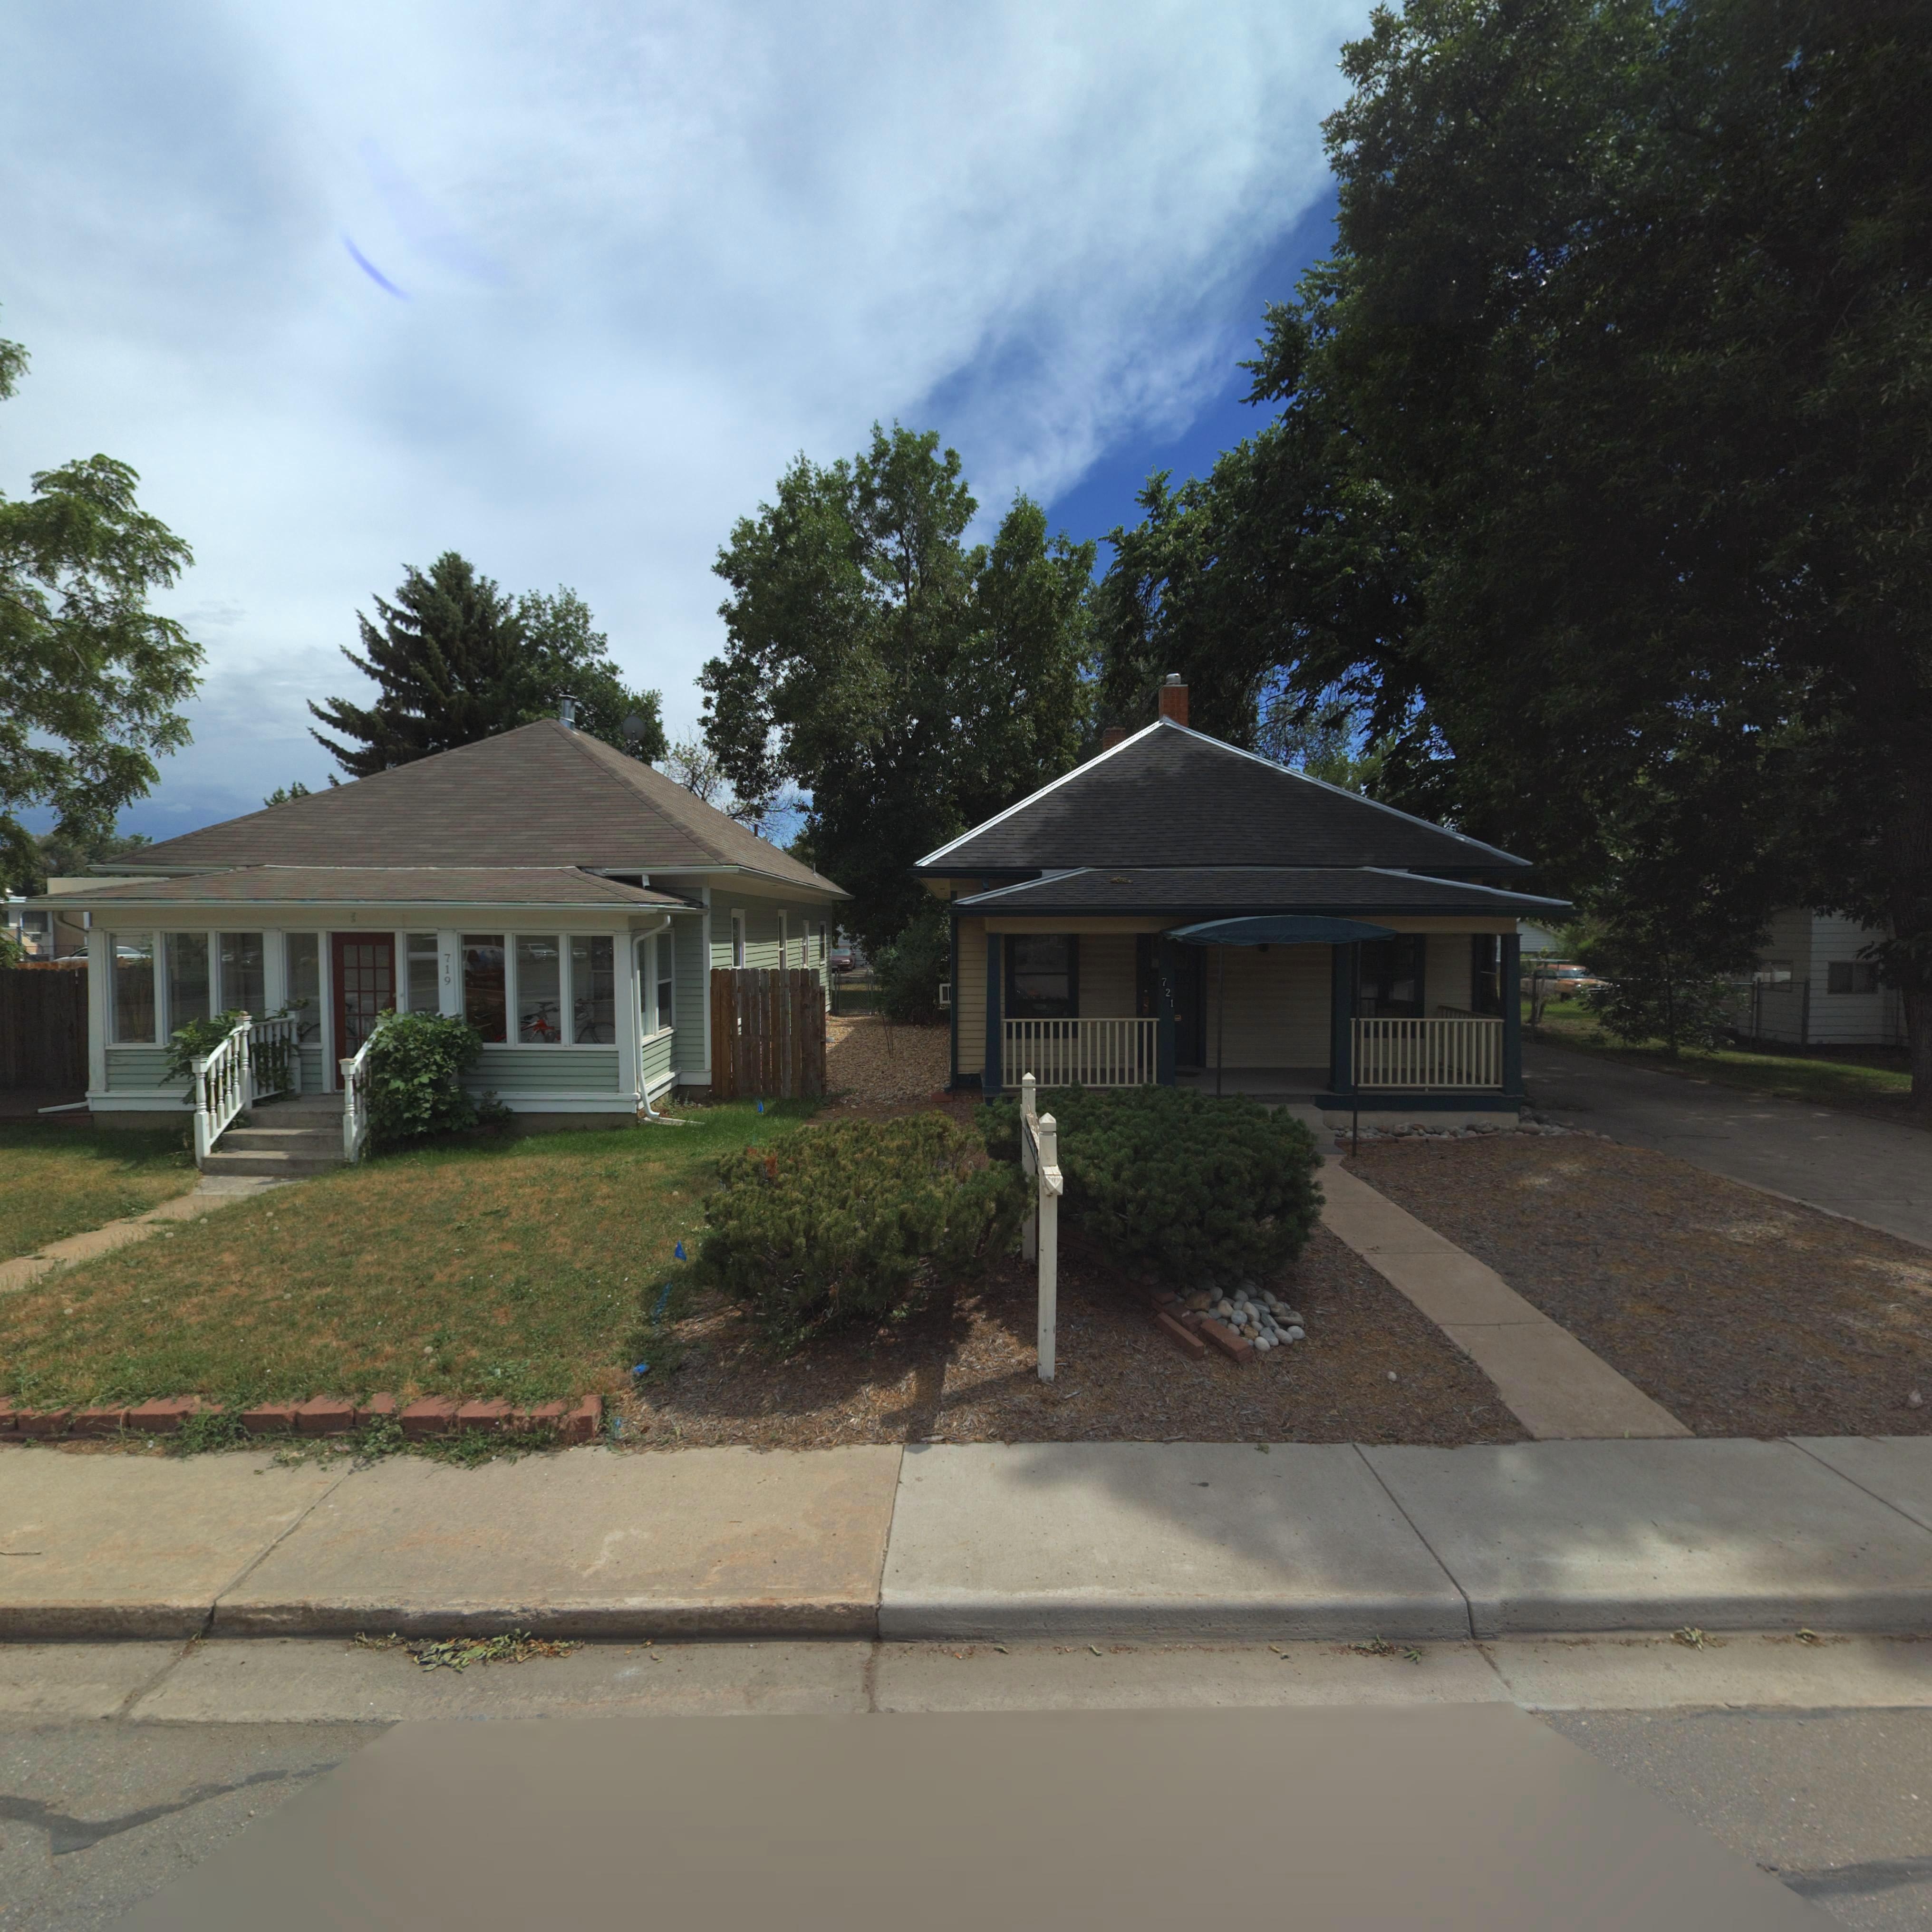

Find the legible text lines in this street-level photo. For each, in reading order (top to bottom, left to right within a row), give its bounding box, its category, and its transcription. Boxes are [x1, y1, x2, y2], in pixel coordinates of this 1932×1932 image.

[444, 954, 451, 985] StreetNumber: 719
[1161, 977, 1173, 1007] StreetNumber: 721